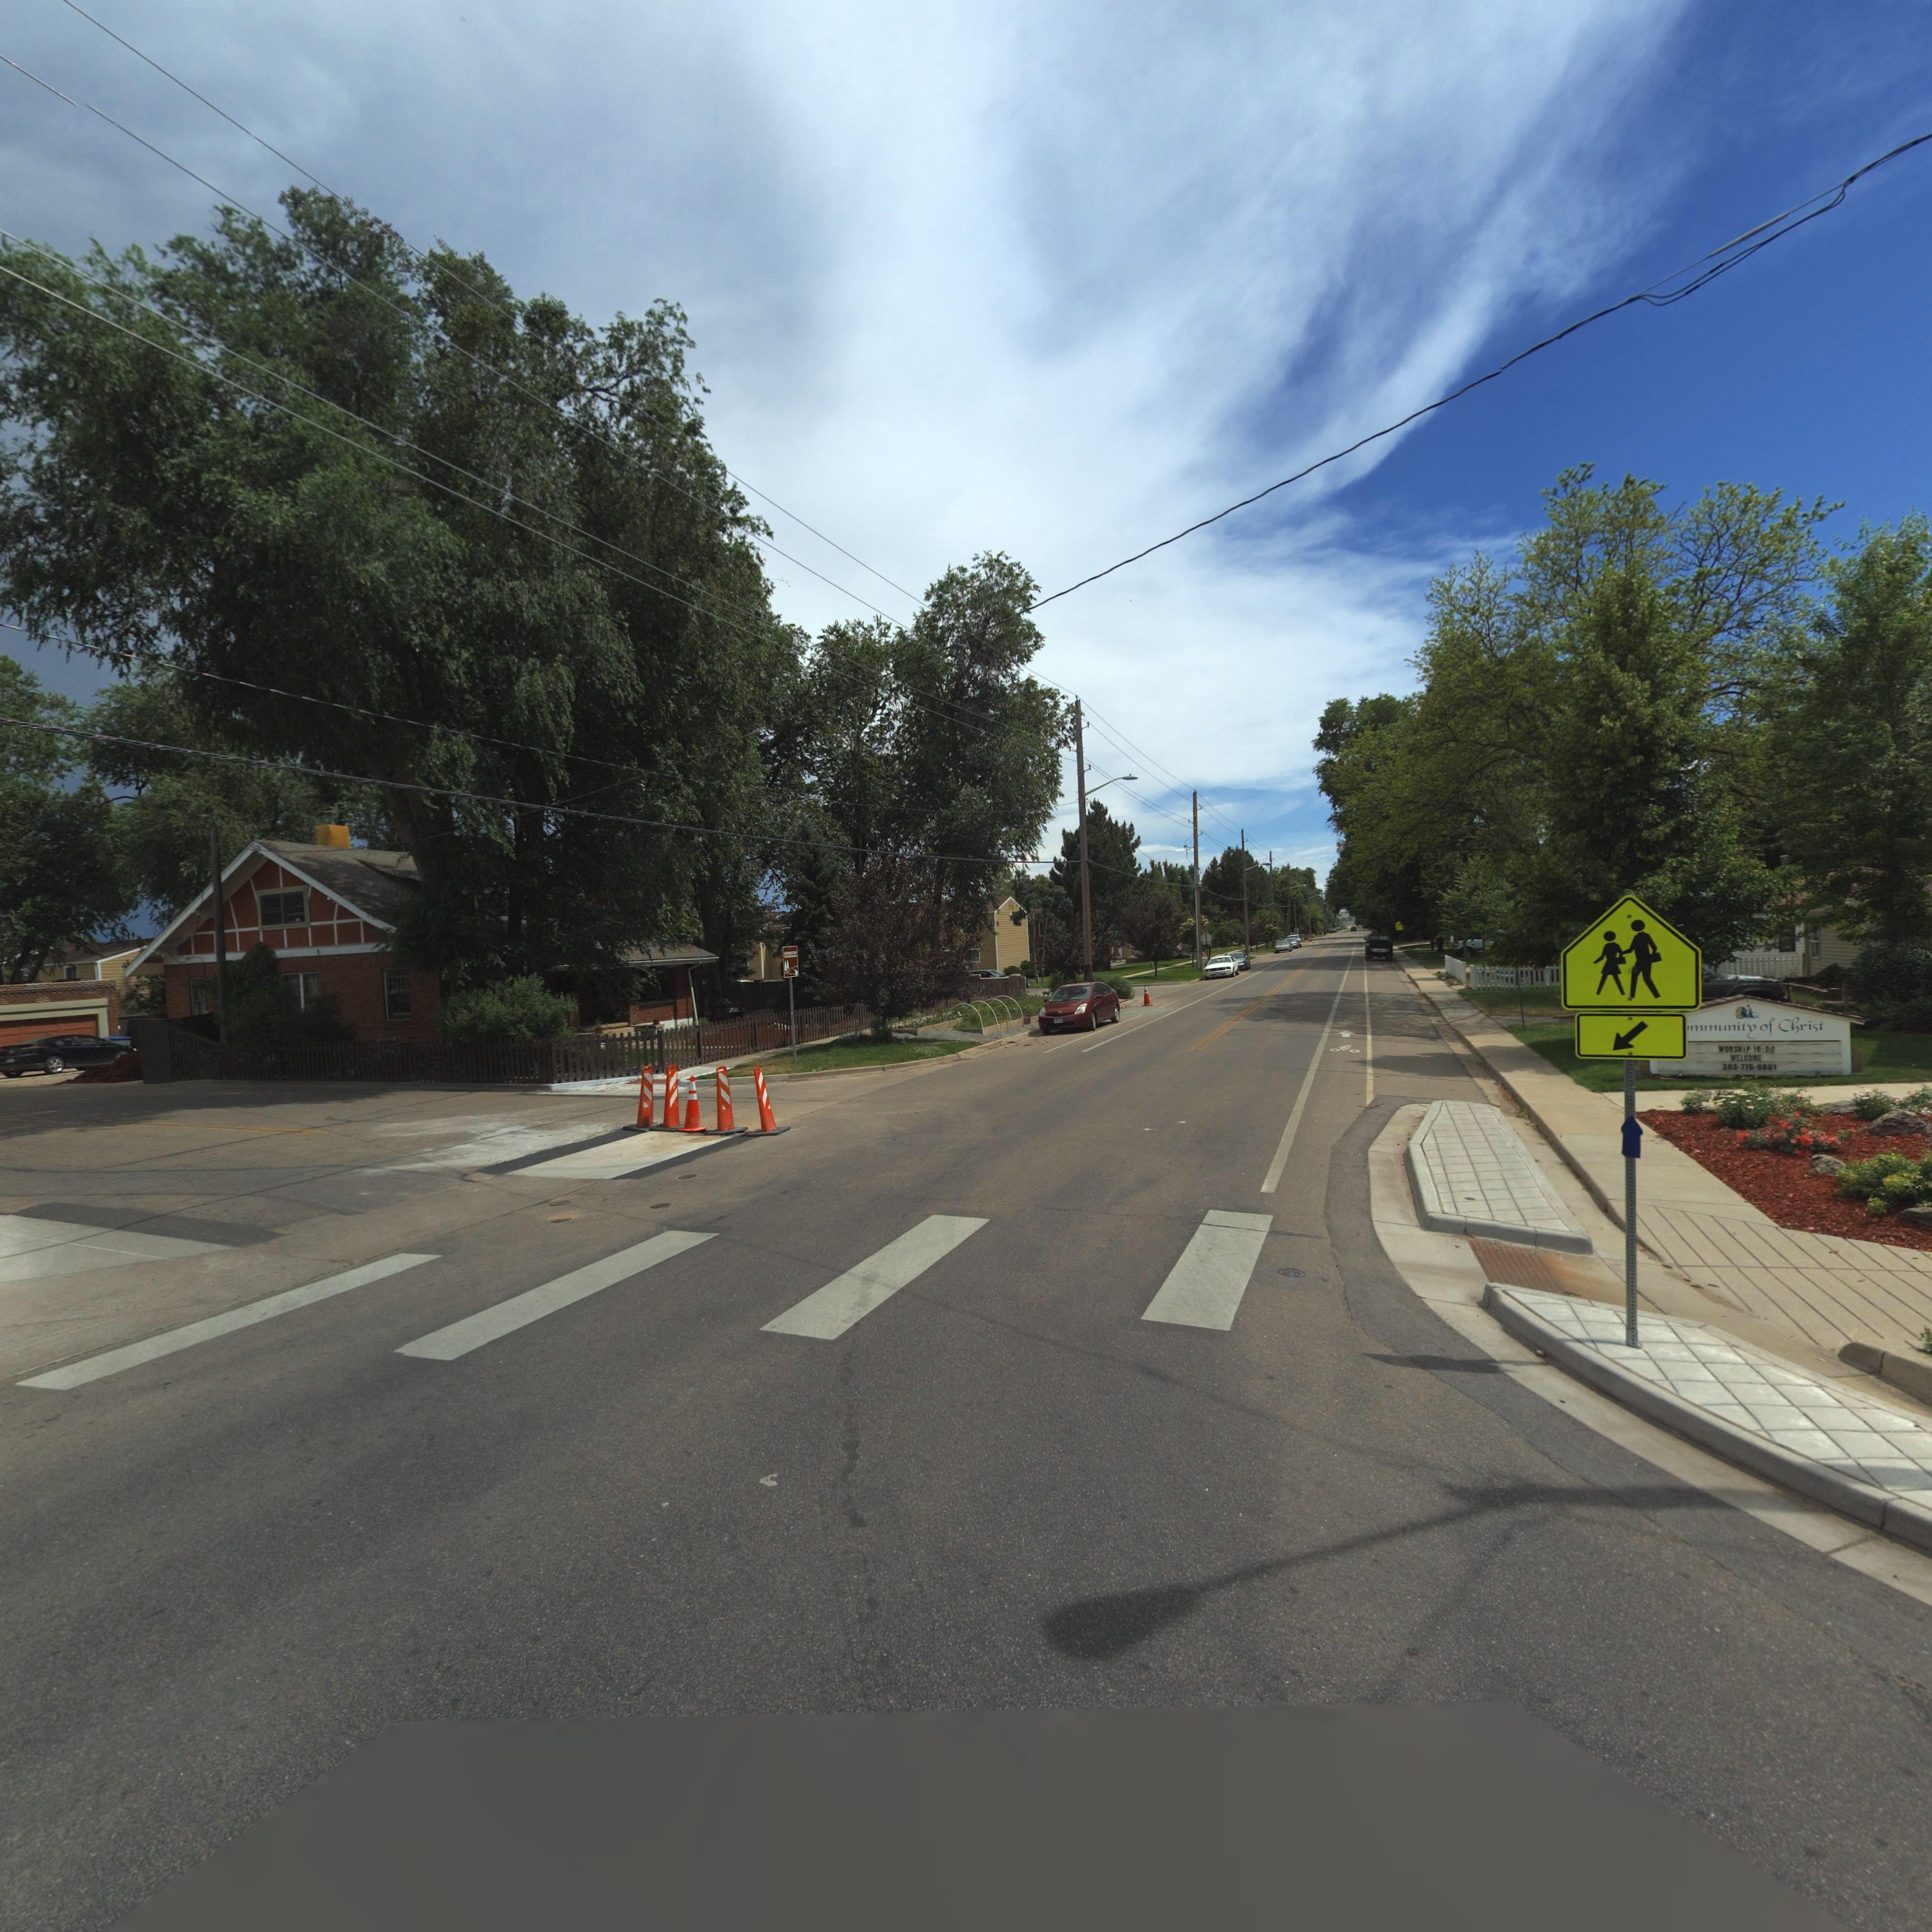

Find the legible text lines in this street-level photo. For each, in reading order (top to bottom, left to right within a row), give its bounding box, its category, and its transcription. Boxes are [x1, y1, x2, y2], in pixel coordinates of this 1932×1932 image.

[1687, 1015, 1826, 1040] BusinessName: mmunity of christ